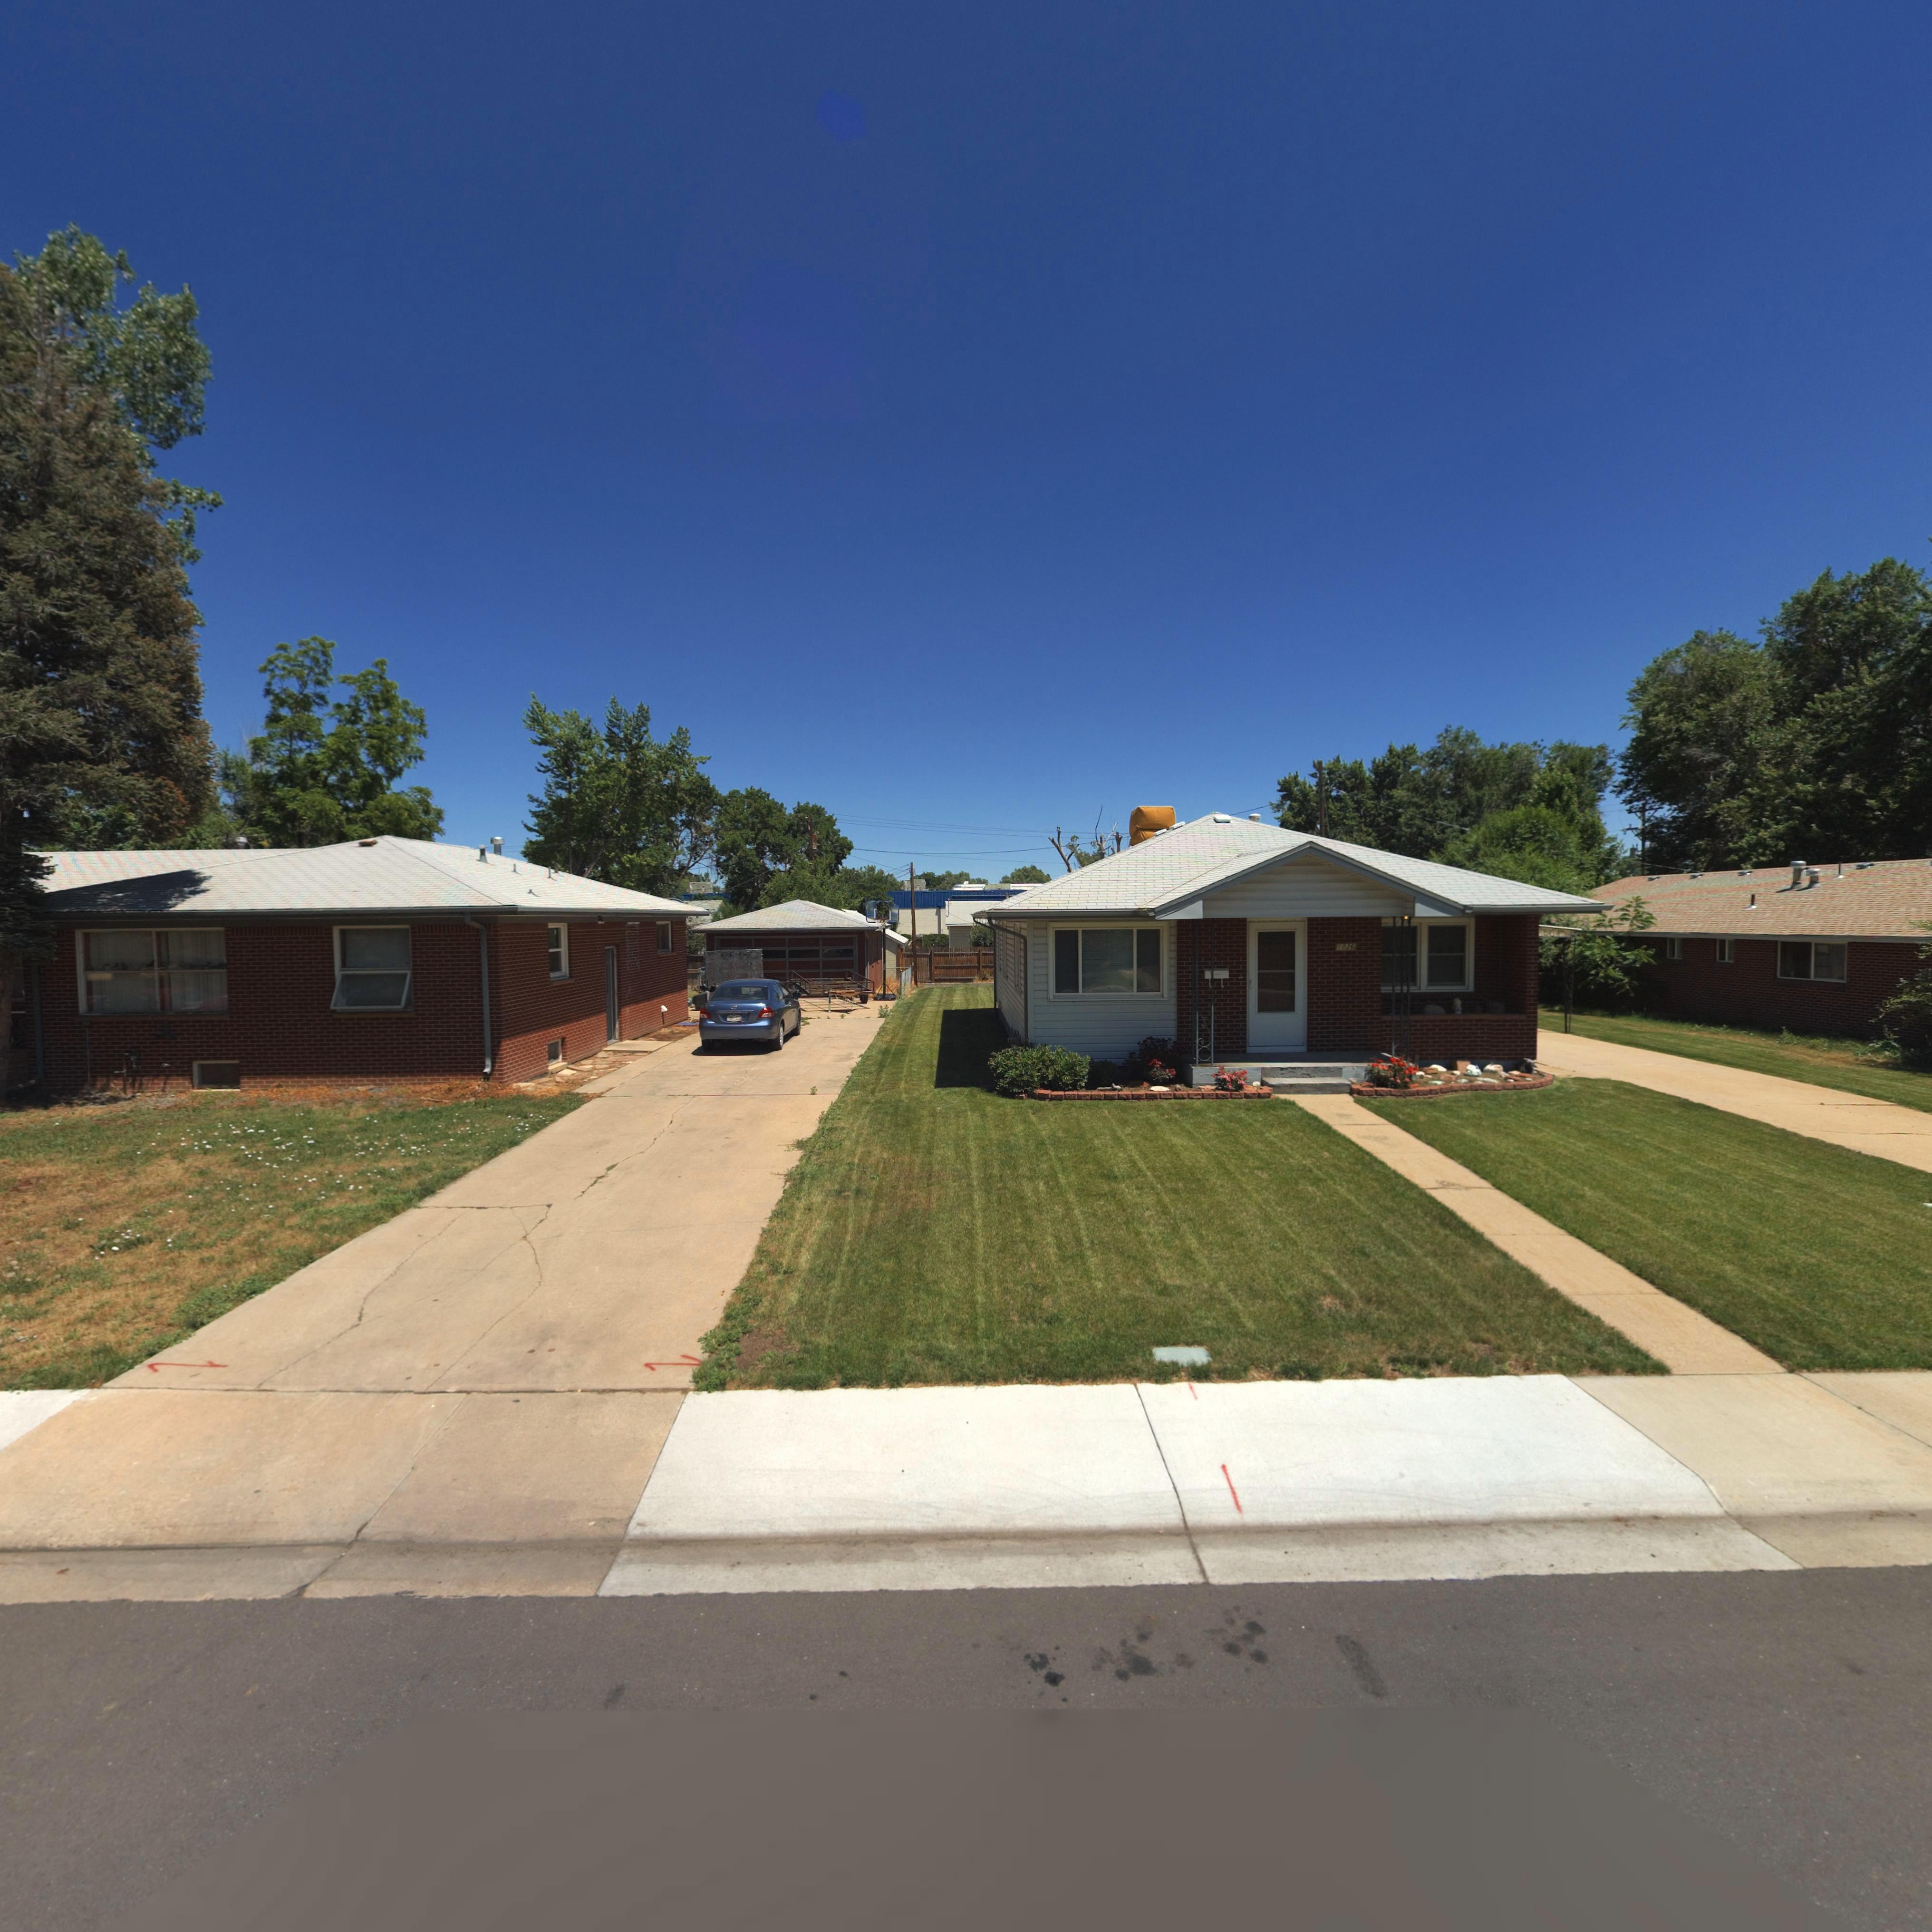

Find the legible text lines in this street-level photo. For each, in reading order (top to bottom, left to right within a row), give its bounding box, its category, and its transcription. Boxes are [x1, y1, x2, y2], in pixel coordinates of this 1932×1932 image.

[1336, 943, 1354, 950] StreetNumber: 1026